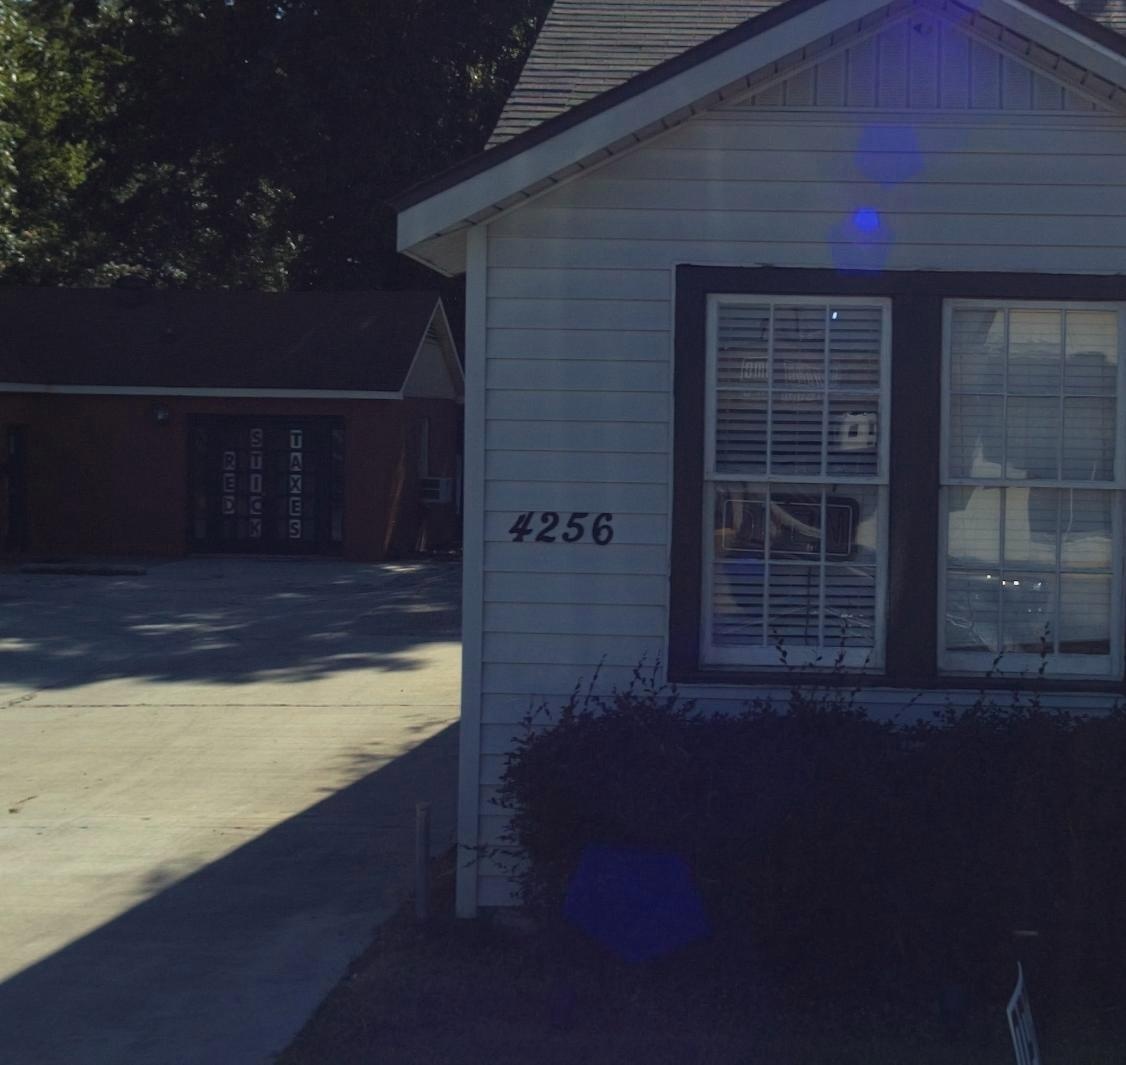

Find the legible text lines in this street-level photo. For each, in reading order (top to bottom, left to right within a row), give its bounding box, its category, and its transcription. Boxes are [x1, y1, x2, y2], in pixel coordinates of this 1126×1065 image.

[742, 358, 768, 381] None: *m
[220, 451, 237, 515] BusinessName: RED
[247, 428, 264, 538] BusinessName: STICK
[288, 429, 304, 538] BusinessName: TAXES
[505, 509, 616, 548] StreetNumber: 4256